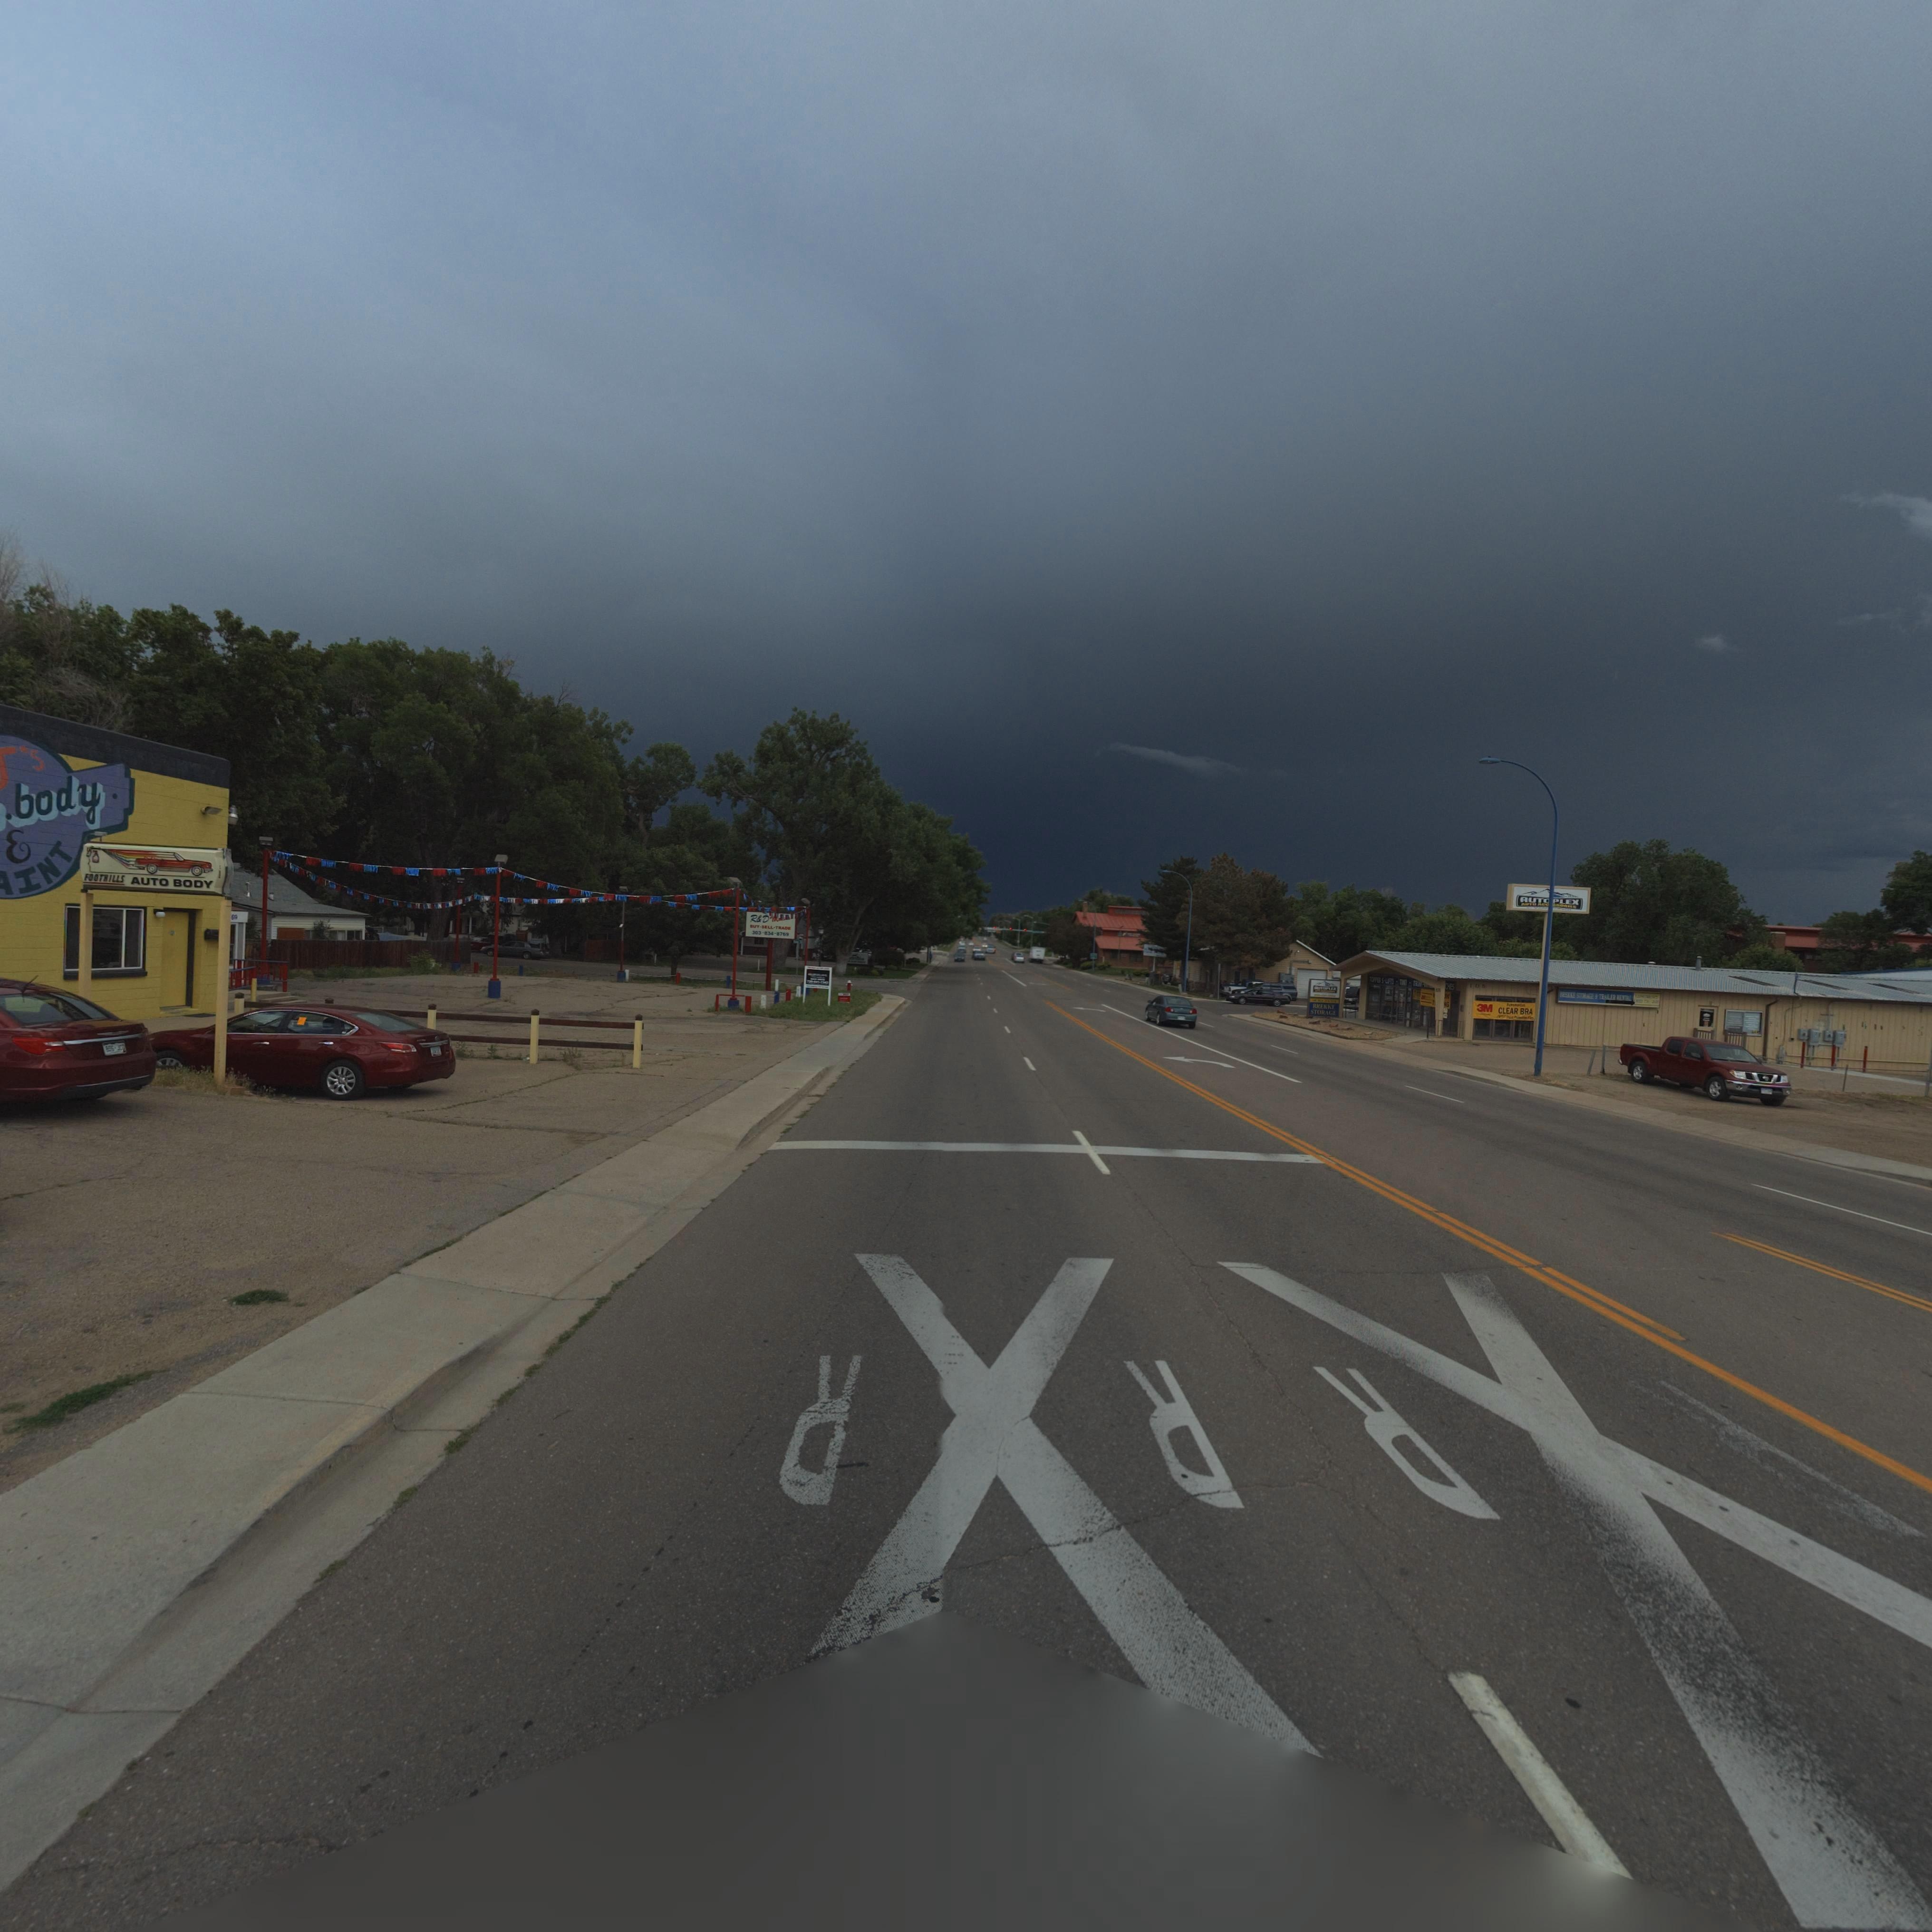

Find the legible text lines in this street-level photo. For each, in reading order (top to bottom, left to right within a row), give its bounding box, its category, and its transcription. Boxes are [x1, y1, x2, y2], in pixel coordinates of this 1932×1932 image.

[29, 748, 44, 771] BusinessName: S
[14, 774, 101, 825] BusinessName: body
[84, 872, 125, 883] BusinessName: FOOTHILLS
[130, 876, 213, 889] BusinessName: AUTO BODY
[1519, 896, 1580, 905] BusinessName: AUTO PLEX
[1521, 902, 1576, 908] BusinessName: AUTO AC**SORIES
[749, 914, 769, 923] BusinessName: R*D
[770, 915, 794, 922] StreetNumber: M***
[1314, 986, 1336, 990] BusinessName: AUTOPLEX
[1469, 982, 1485, 988] StreetNumber: 10*
[1312, 1003, 1335, 1010] BusinessName: BREKKE
[1309, 1009, 1337, 1015] BusinessName: STORAGE